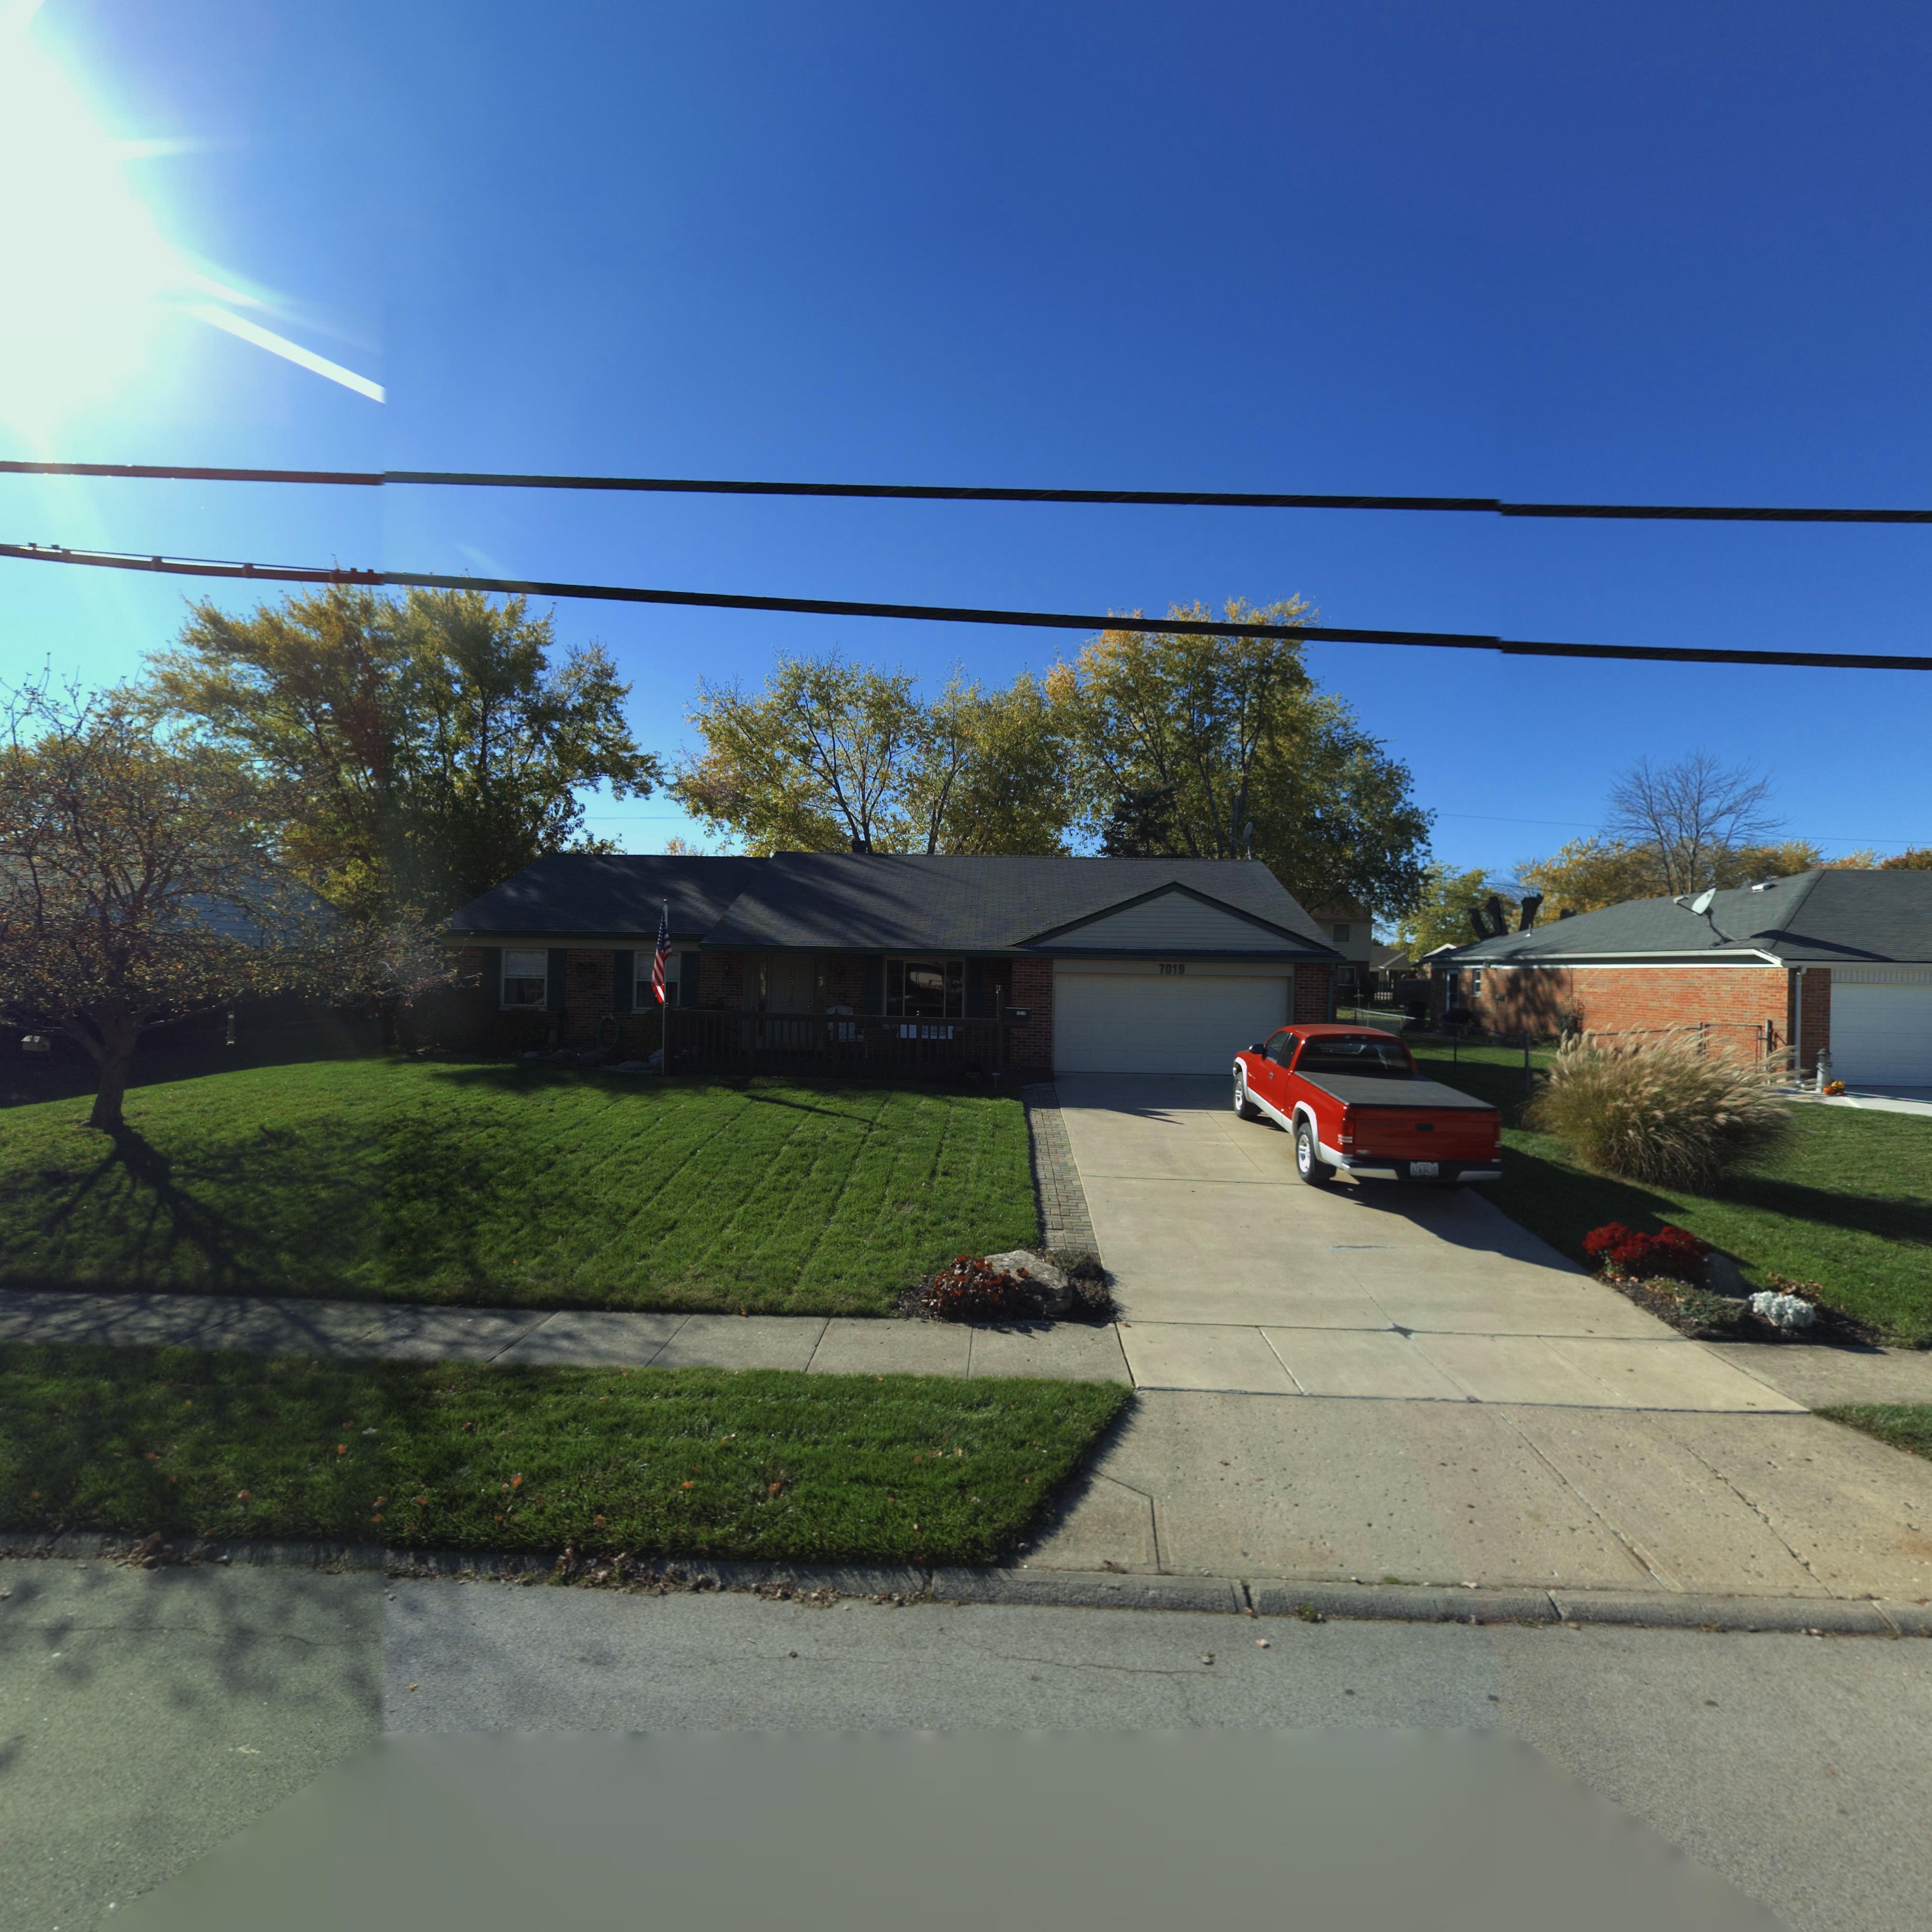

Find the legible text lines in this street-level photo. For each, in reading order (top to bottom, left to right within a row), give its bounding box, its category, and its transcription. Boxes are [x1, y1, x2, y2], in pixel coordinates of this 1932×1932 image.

[1158, 963, 1186, 975] StreetNumber: 7019
[1016, 1011, 1026, 1015] StreetNumber: 7019